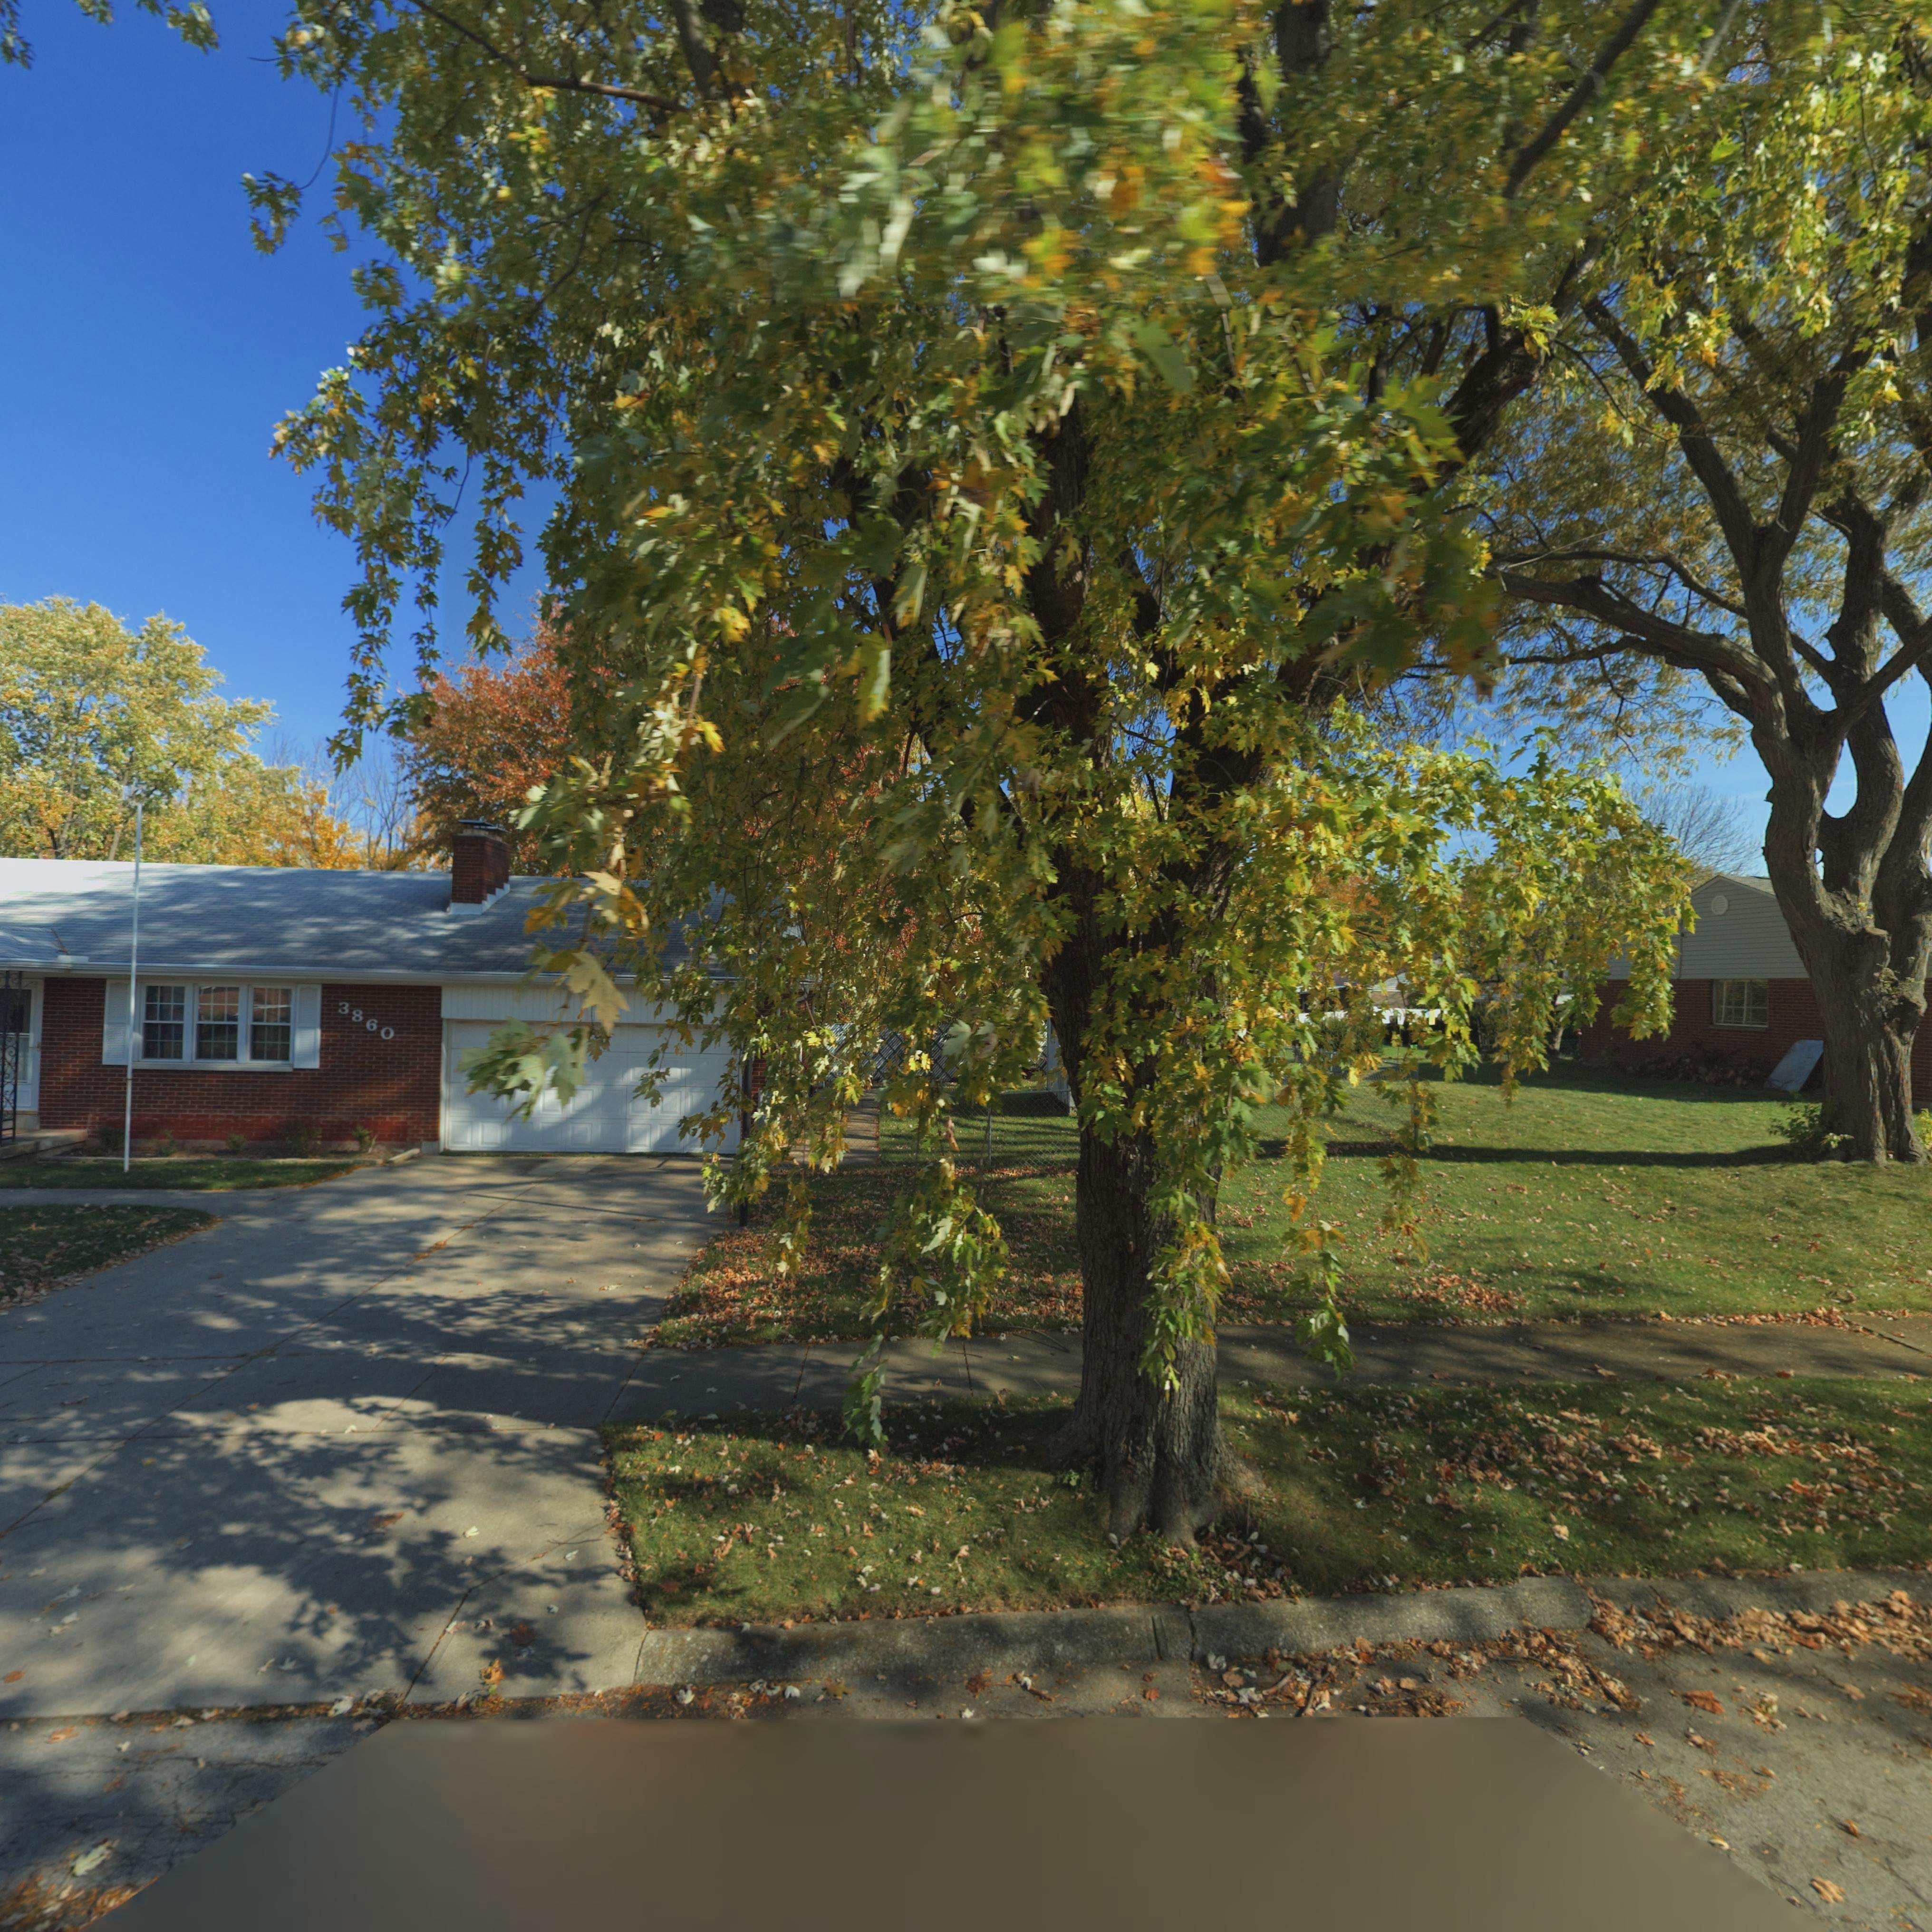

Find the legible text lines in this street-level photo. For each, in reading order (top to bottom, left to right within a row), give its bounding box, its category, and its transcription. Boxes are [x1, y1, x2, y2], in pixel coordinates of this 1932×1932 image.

[337, 1000, 396, 1042] StreetNumber: 3860